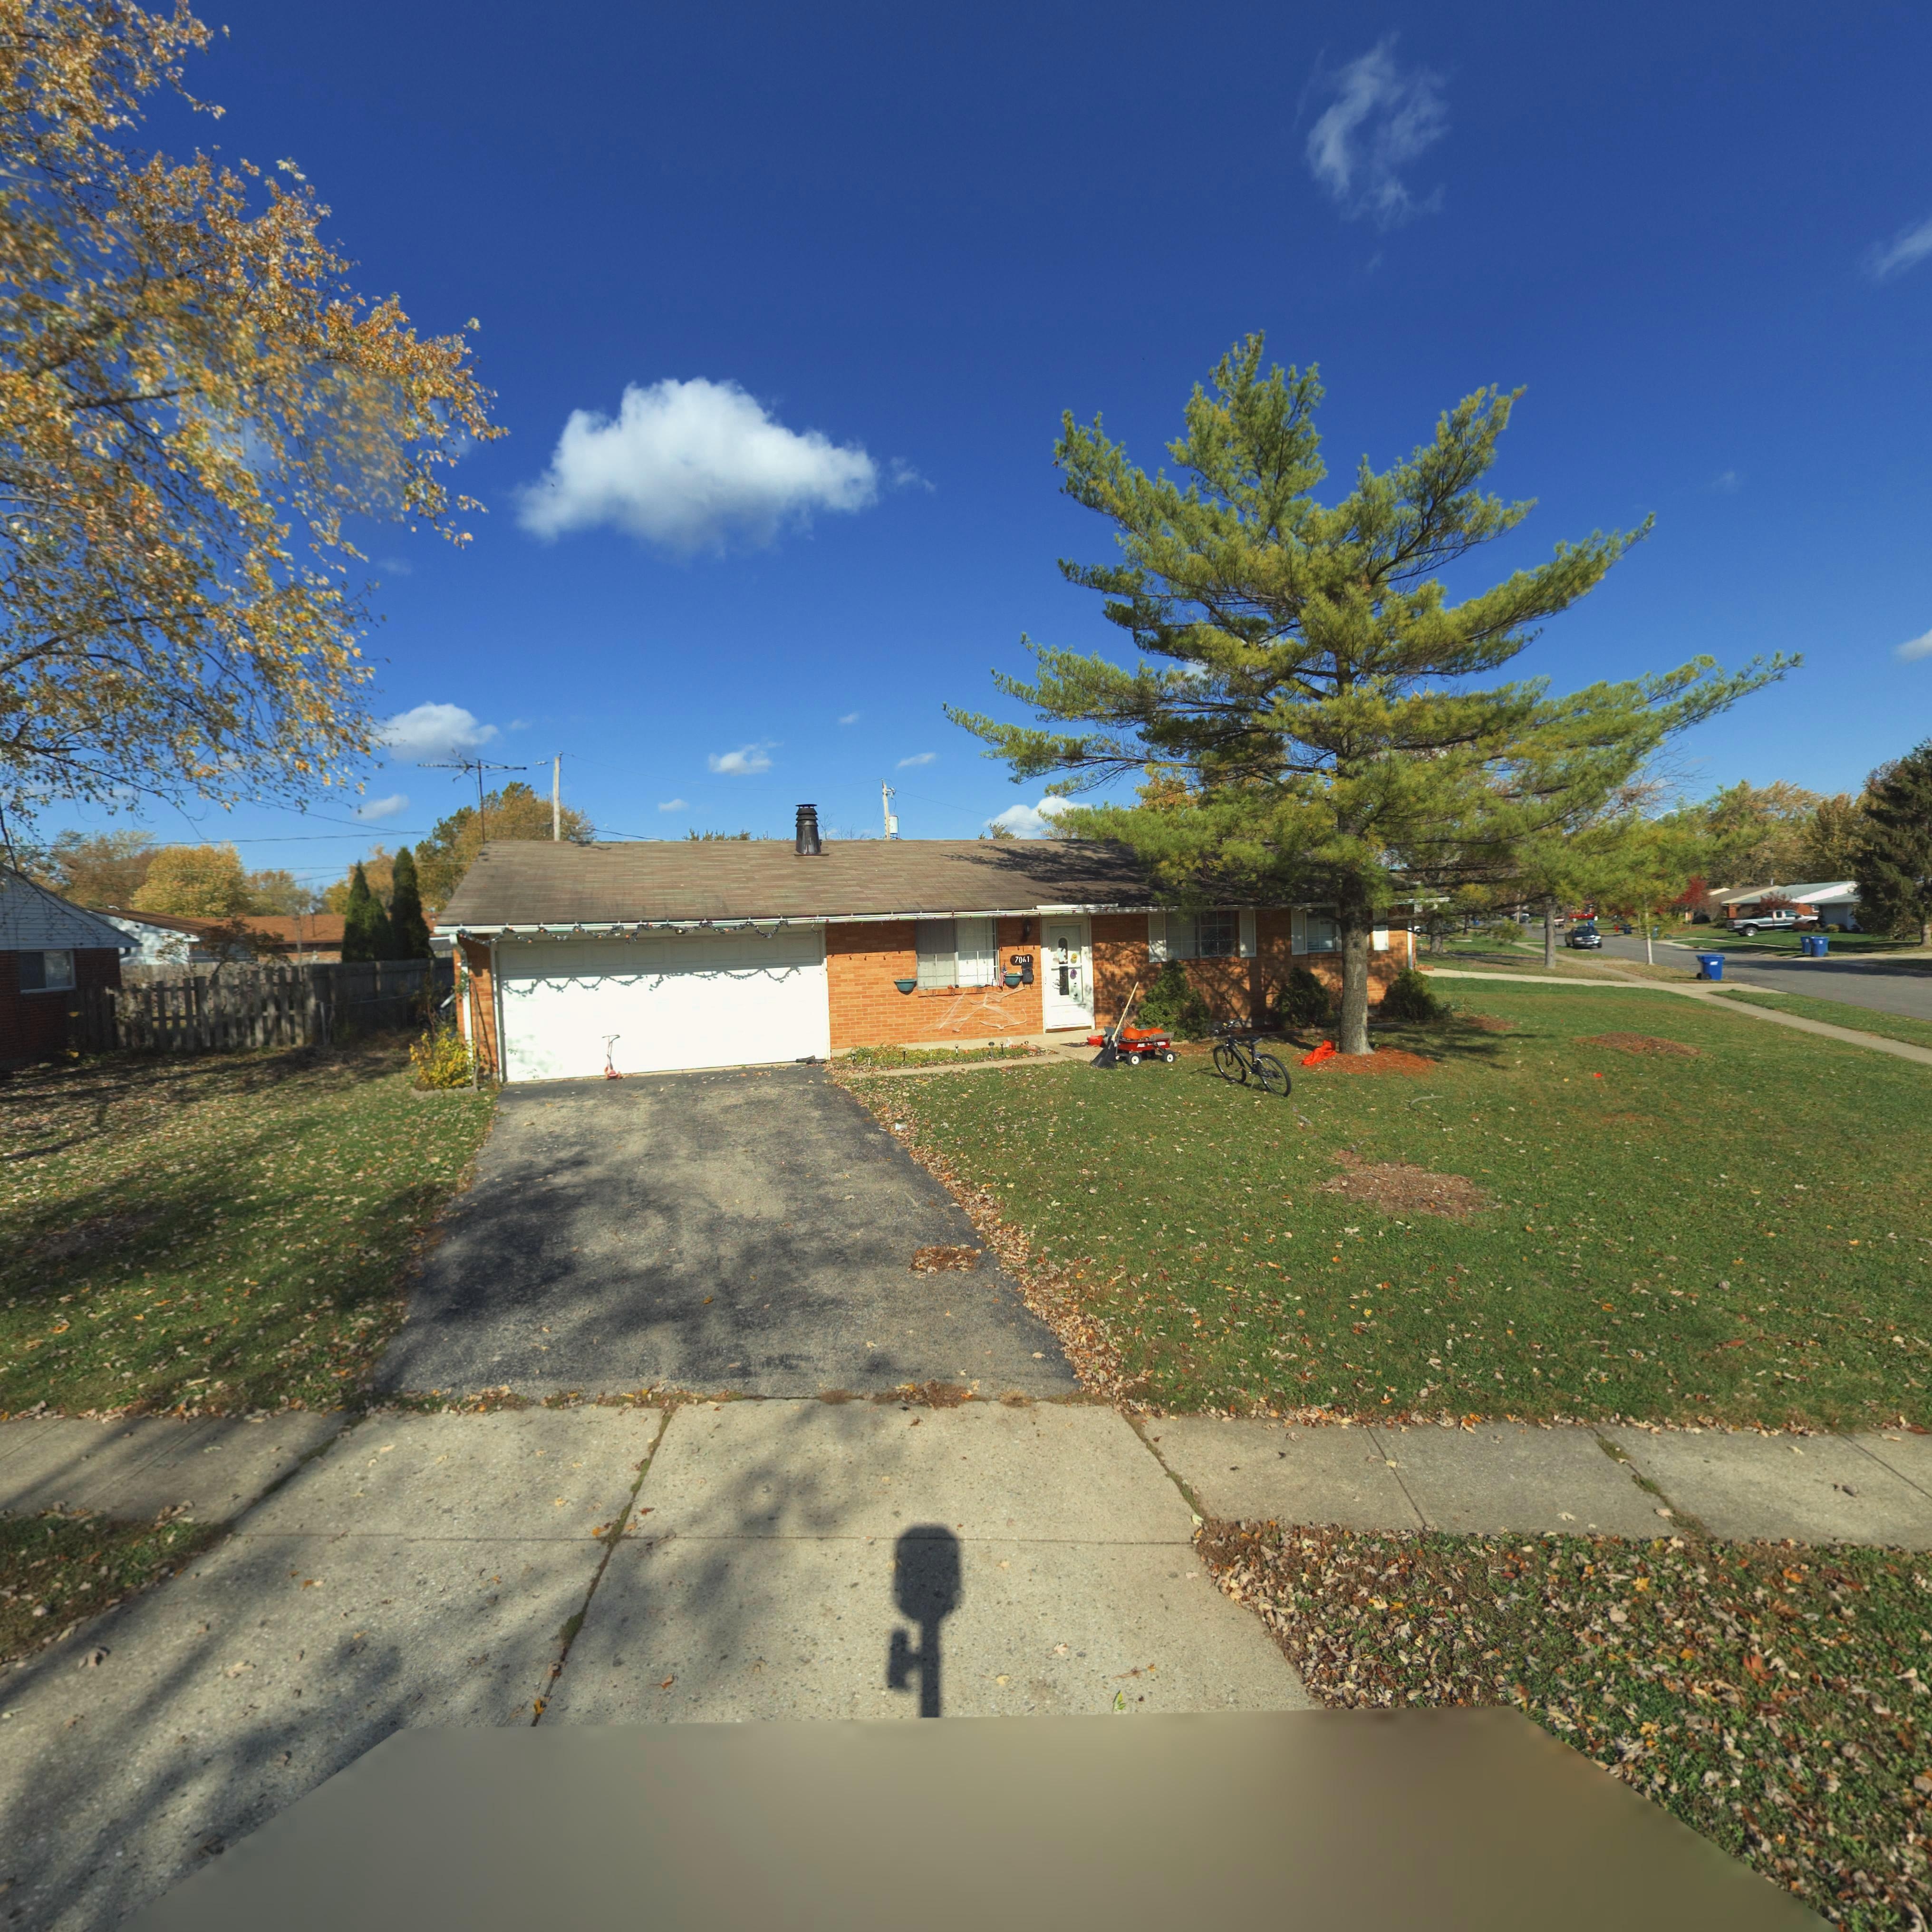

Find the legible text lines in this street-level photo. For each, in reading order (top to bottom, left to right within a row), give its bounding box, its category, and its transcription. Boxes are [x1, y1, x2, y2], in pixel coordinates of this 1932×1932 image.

[1014, 955, 1030, 965] StreetNumber: 70**